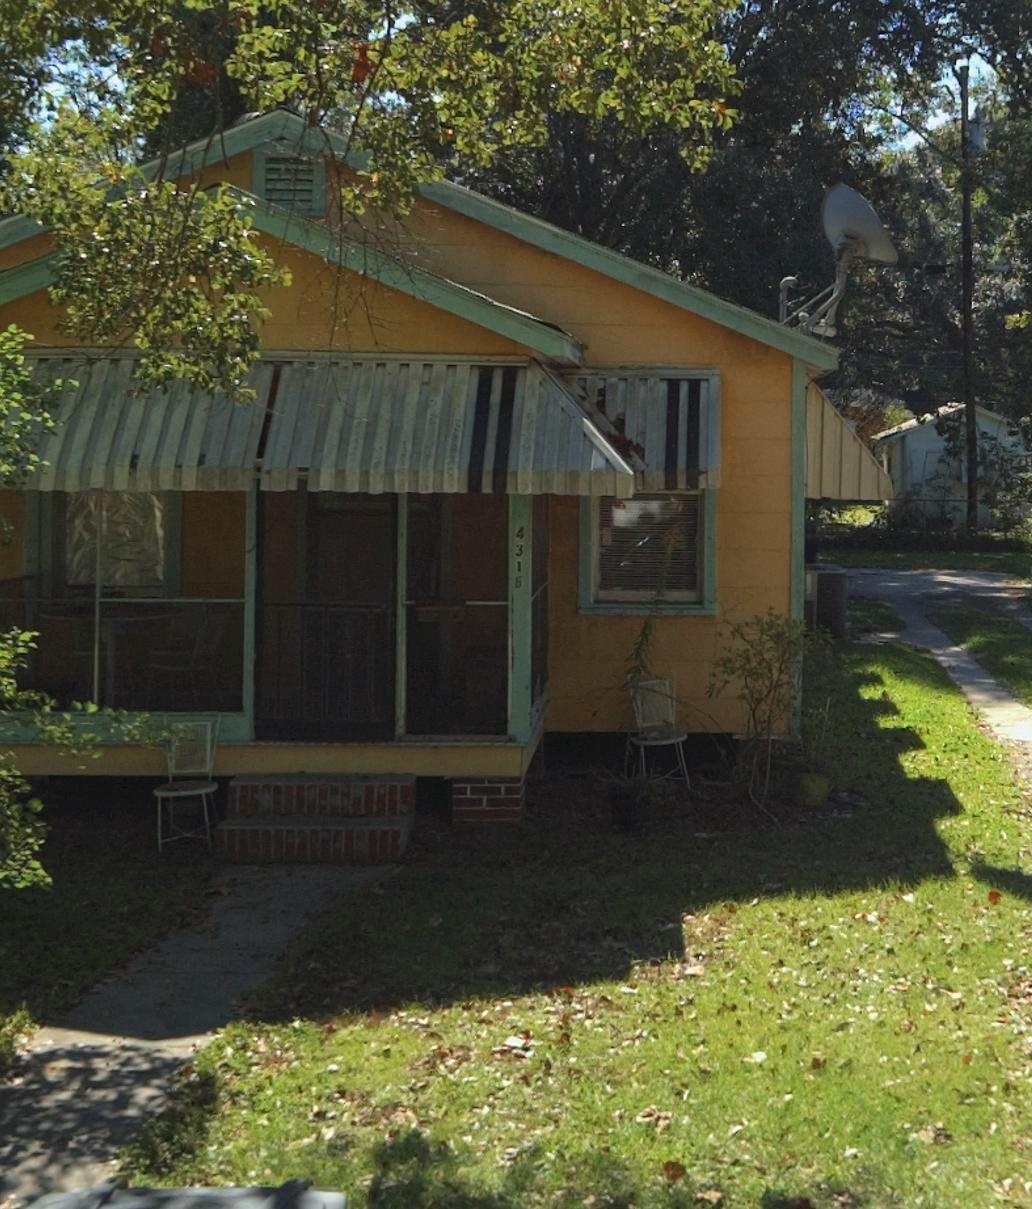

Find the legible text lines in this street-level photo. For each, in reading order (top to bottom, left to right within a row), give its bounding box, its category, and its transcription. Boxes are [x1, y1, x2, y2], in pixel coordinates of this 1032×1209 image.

[514, 525, 525, 589] StreetNumber: 4316